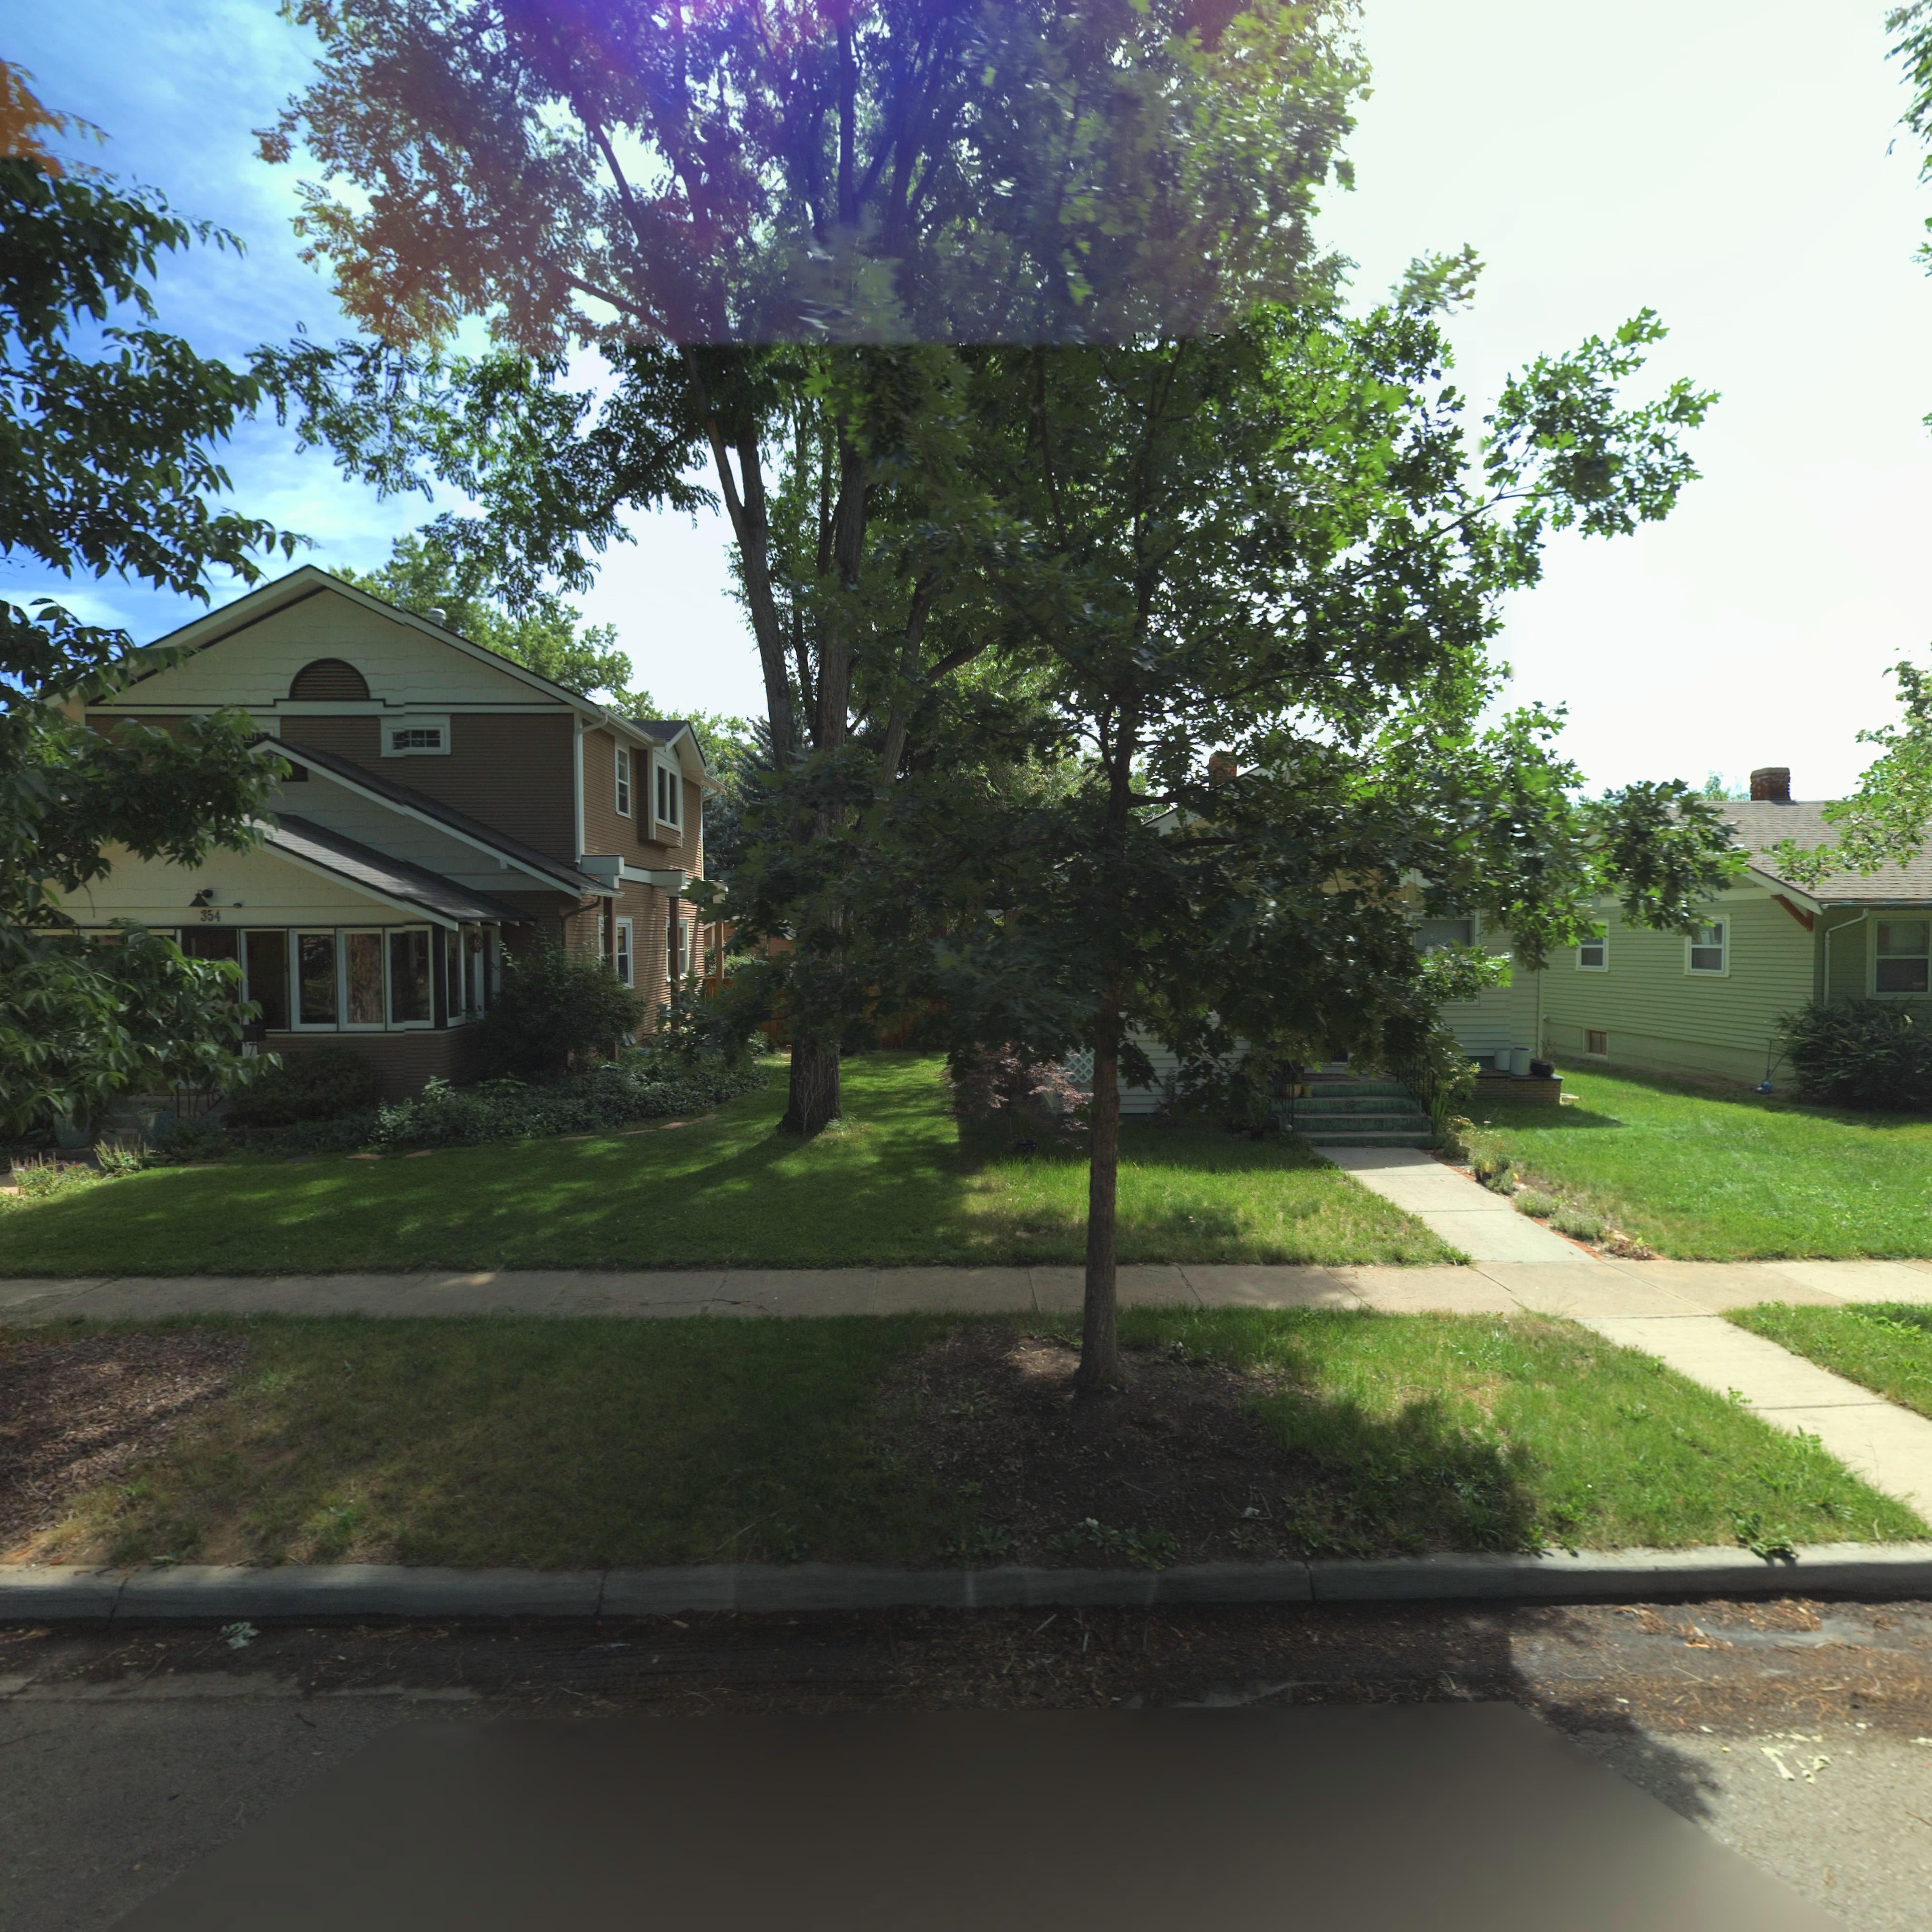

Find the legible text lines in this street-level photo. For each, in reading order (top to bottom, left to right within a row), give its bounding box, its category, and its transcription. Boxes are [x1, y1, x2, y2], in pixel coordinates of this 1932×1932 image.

[199, 909, 221, 921] StreetNumber: 354